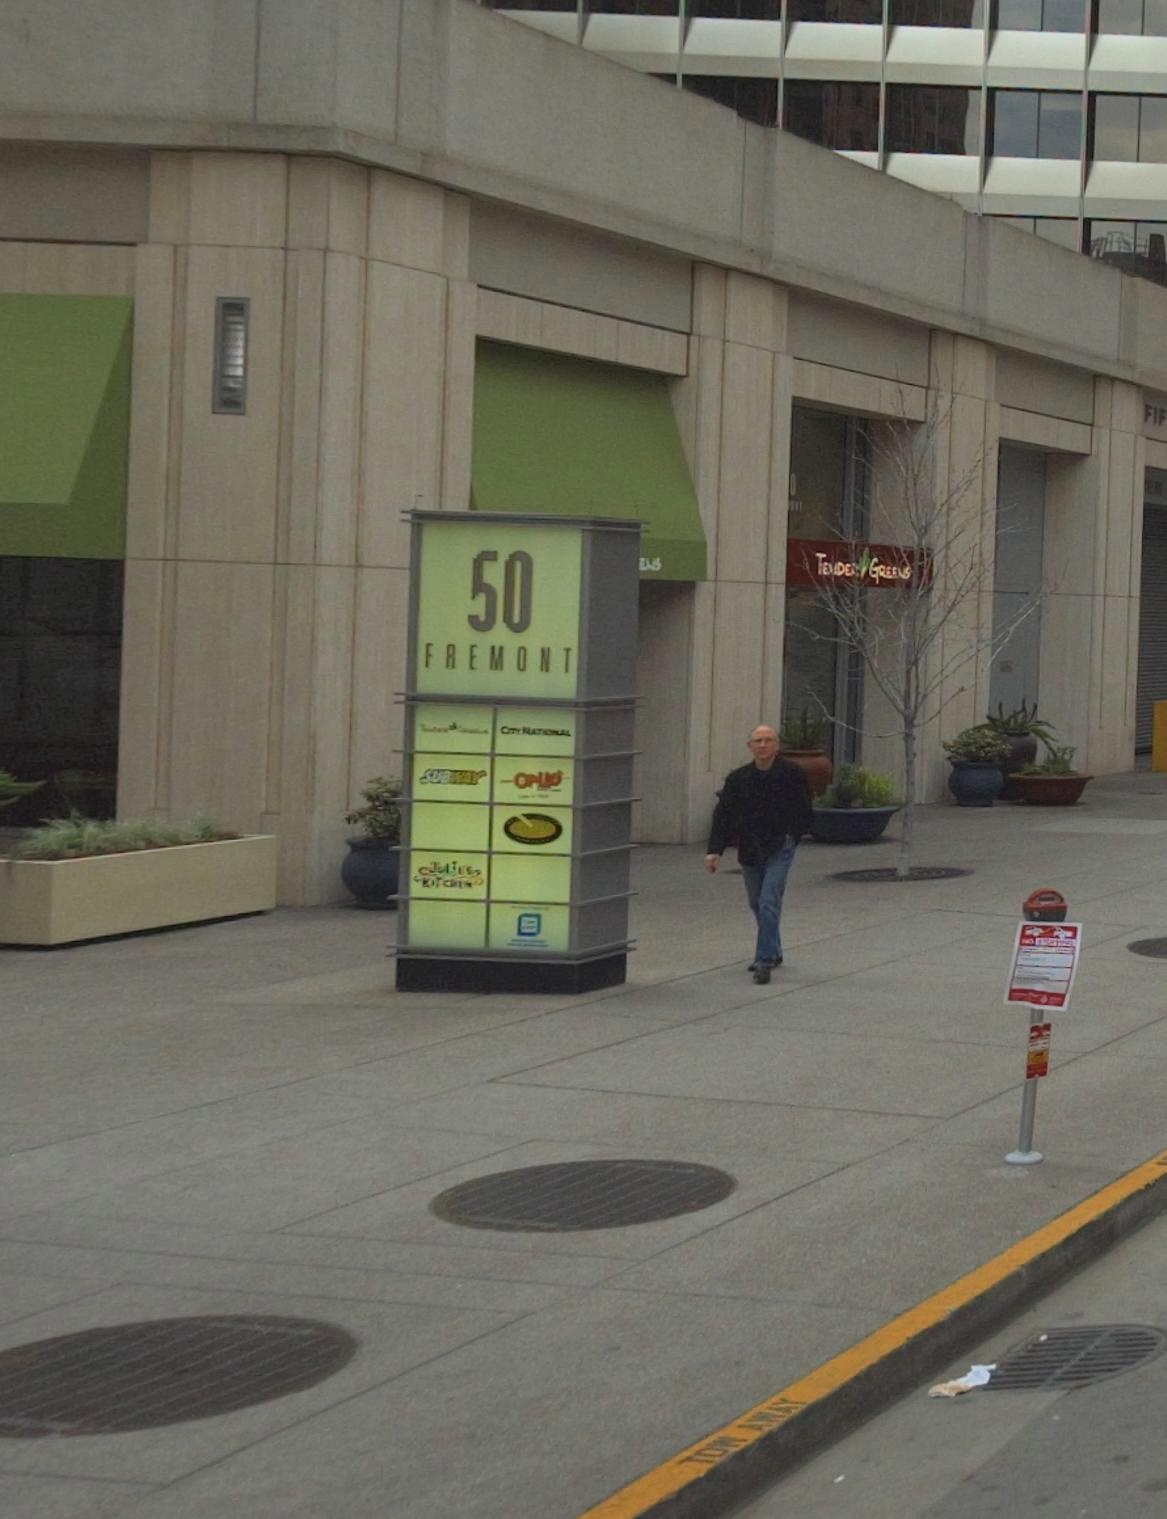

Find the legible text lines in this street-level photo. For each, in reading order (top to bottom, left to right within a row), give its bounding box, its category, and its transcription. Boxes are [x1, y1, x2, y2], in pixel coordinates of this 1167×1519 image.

[636, 554, 664, 573] BusinessName: ENS
[812, 548, 914, 587] BusinessName: TE*DE* * GREENS
[464, 545, 538, 638] StreetNumber: 50
[421, 636, 576, 678] StreetName: FREMONT
[498, 722, 574, 739] BusinessName: CITY NATIONAL
[416, 764, 491, 789] BusinessName: SUBWAY
[667, 1391, 816, 1468] None: TOW AWAY